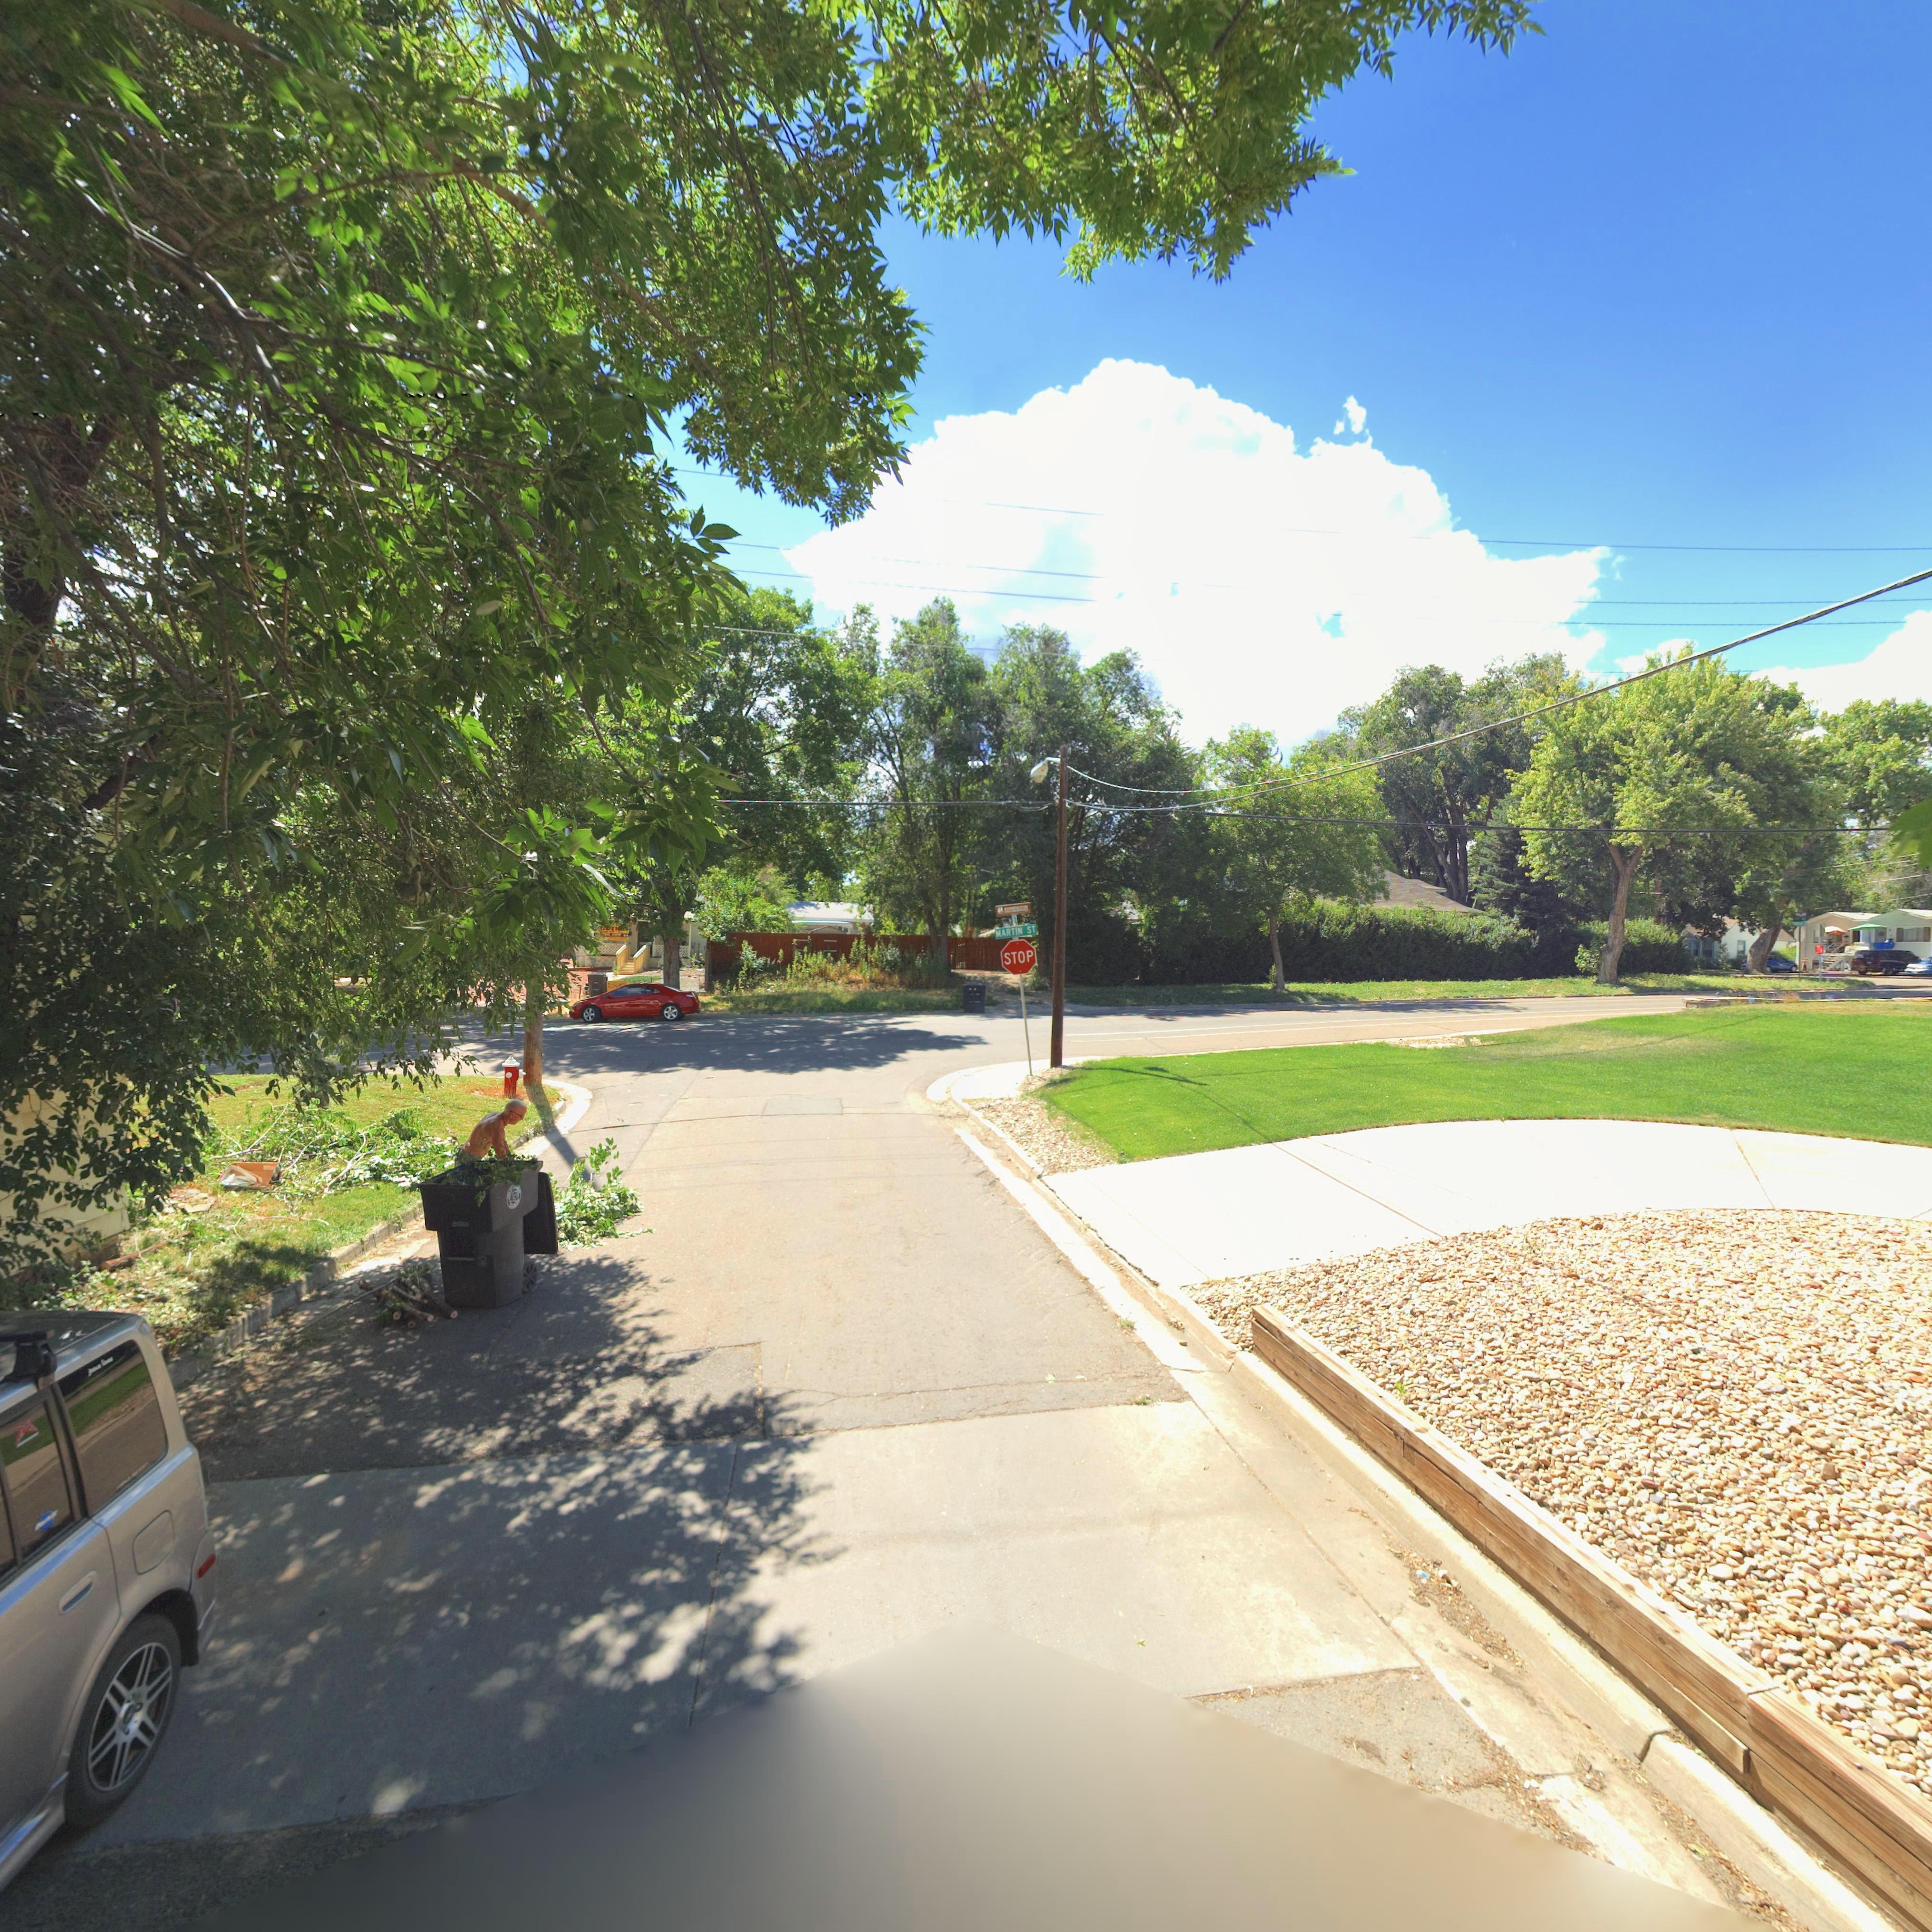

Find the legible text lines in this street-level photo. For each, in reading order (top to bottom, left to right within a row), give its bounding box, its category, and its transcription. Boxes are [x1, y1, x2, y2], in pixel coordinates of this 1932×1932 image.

[995, 925, 1035, 938] StreetName: MARTIN ST